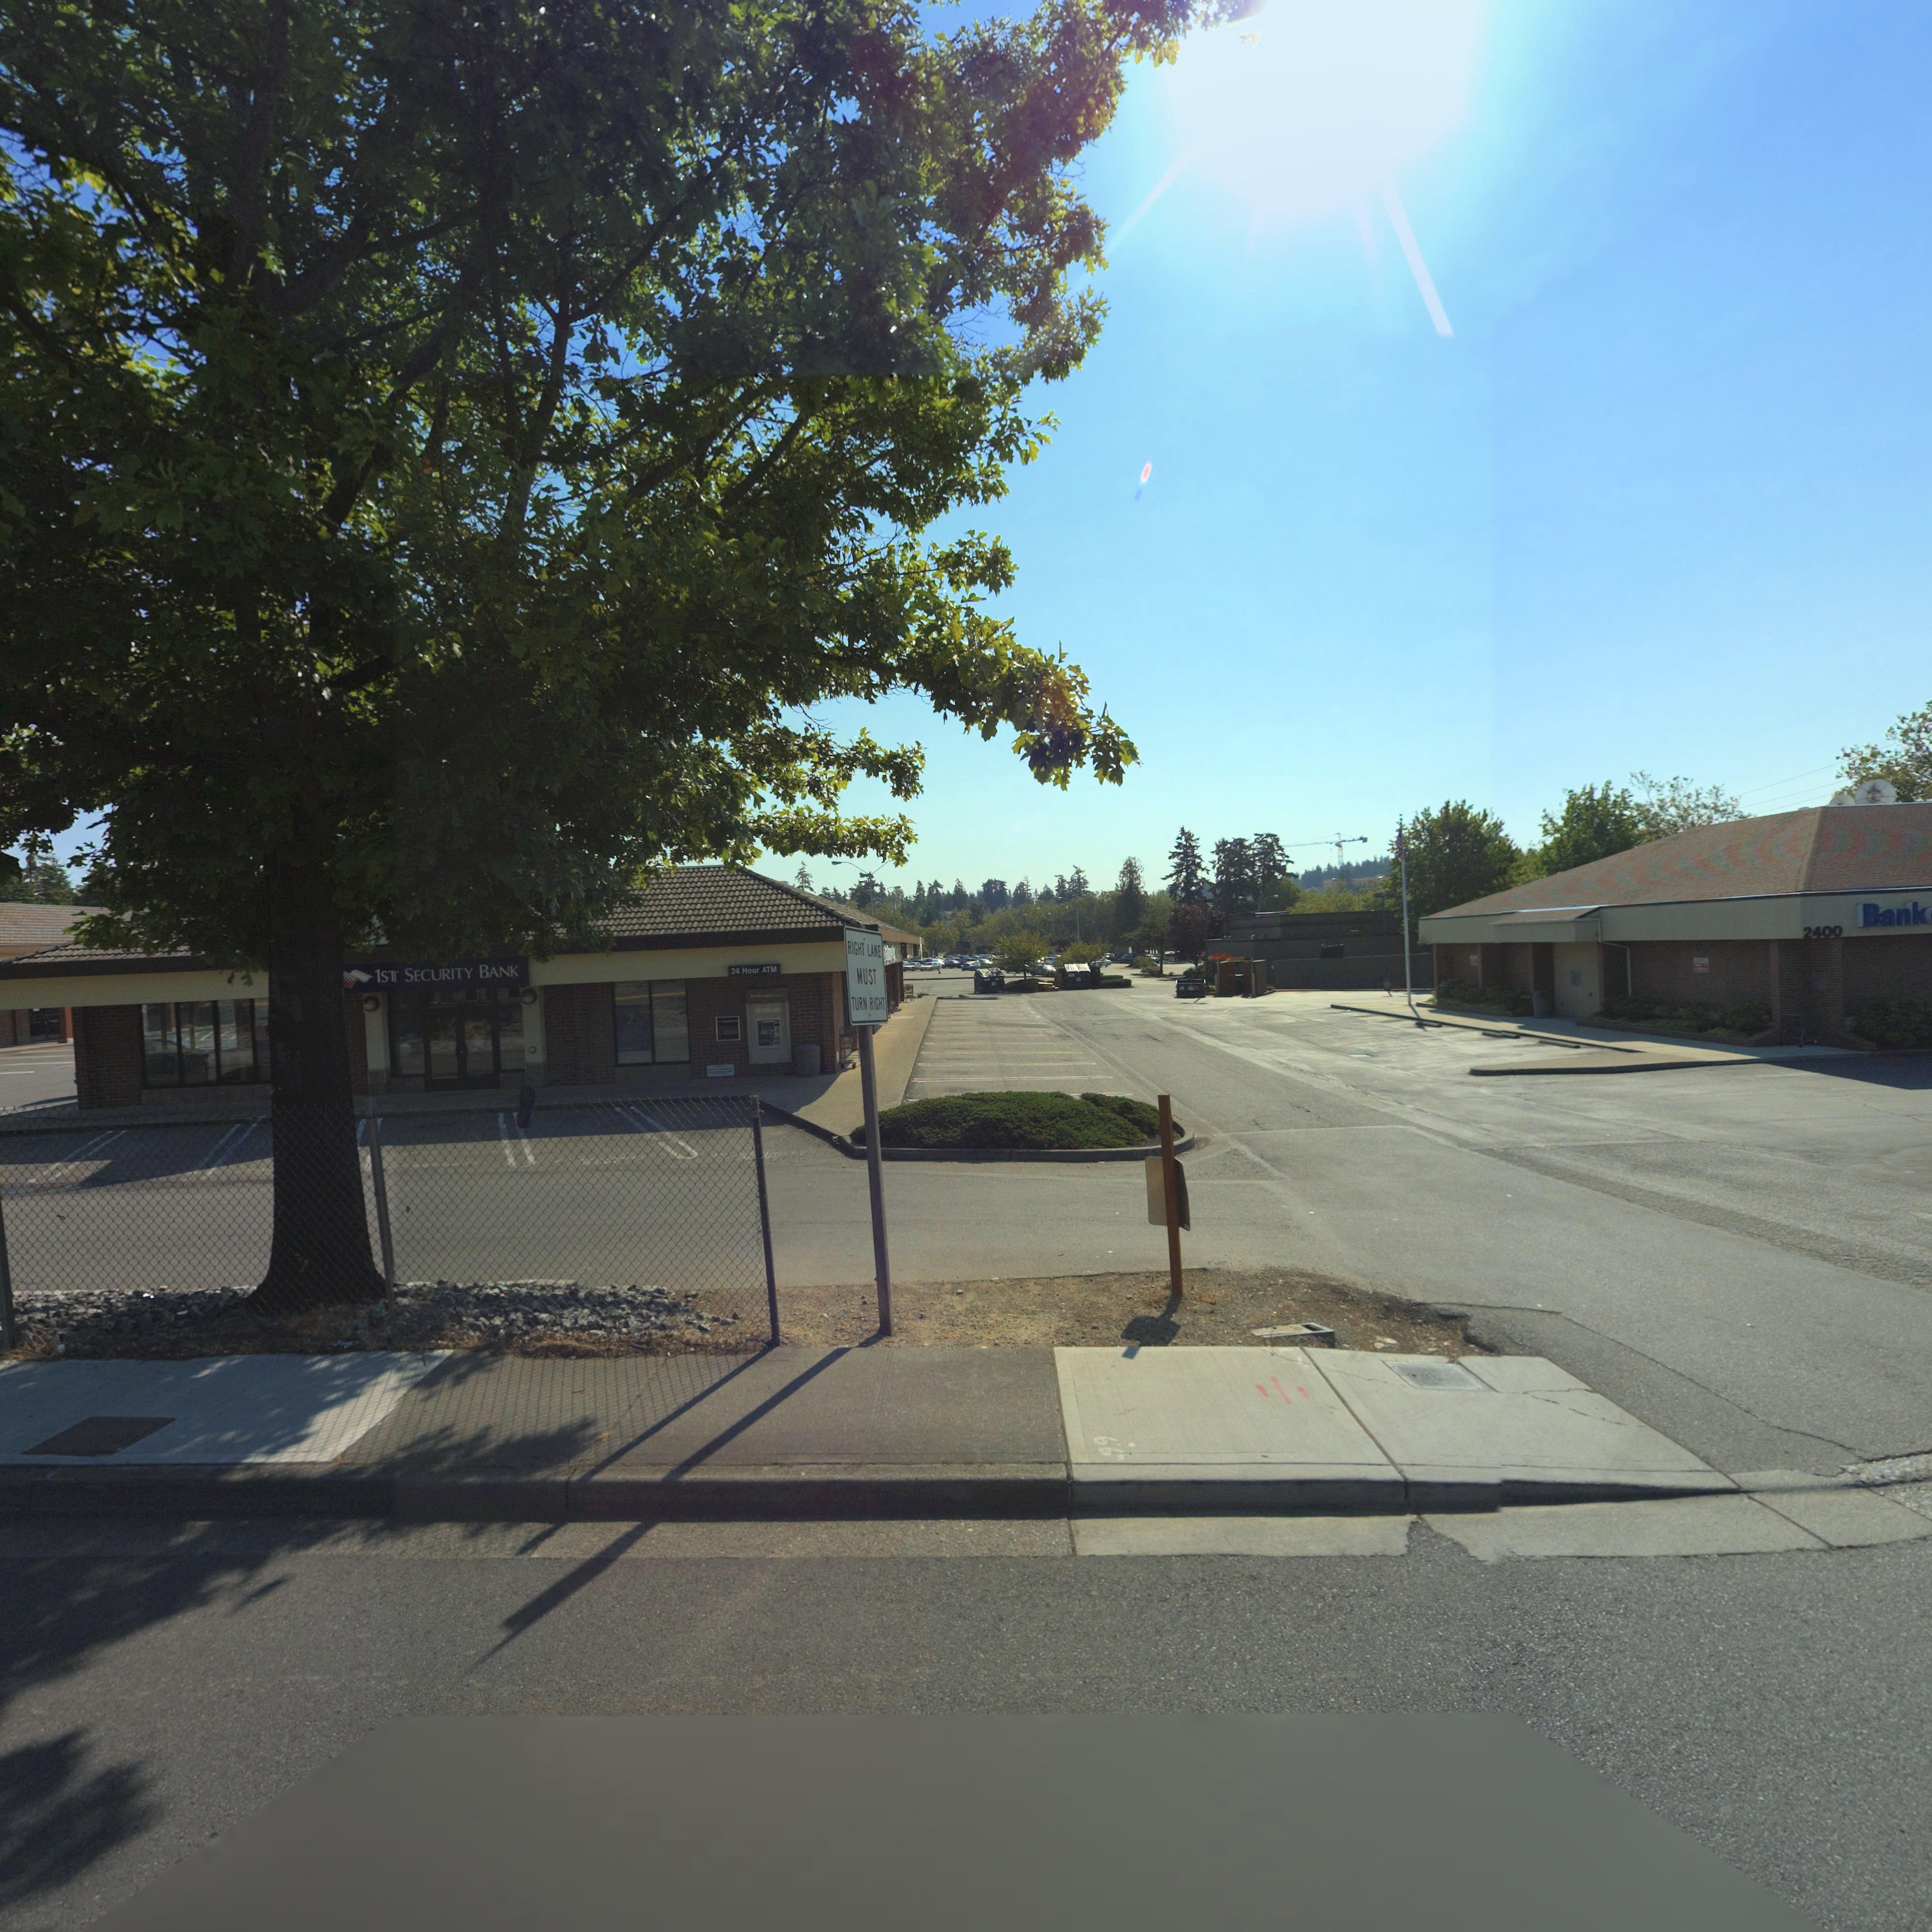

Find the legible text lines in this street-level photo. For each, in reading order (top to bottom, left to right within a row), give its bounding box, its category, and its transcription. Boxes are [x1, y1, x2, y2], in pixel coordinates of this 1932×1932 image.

[1862, 900, 1927, 927] BusinessName: Bank
[1803, 925, 1843, 939] StreetNumber: 2400
[374, 964, 518, 984] BusinessName: 1ST SECURITY BANK